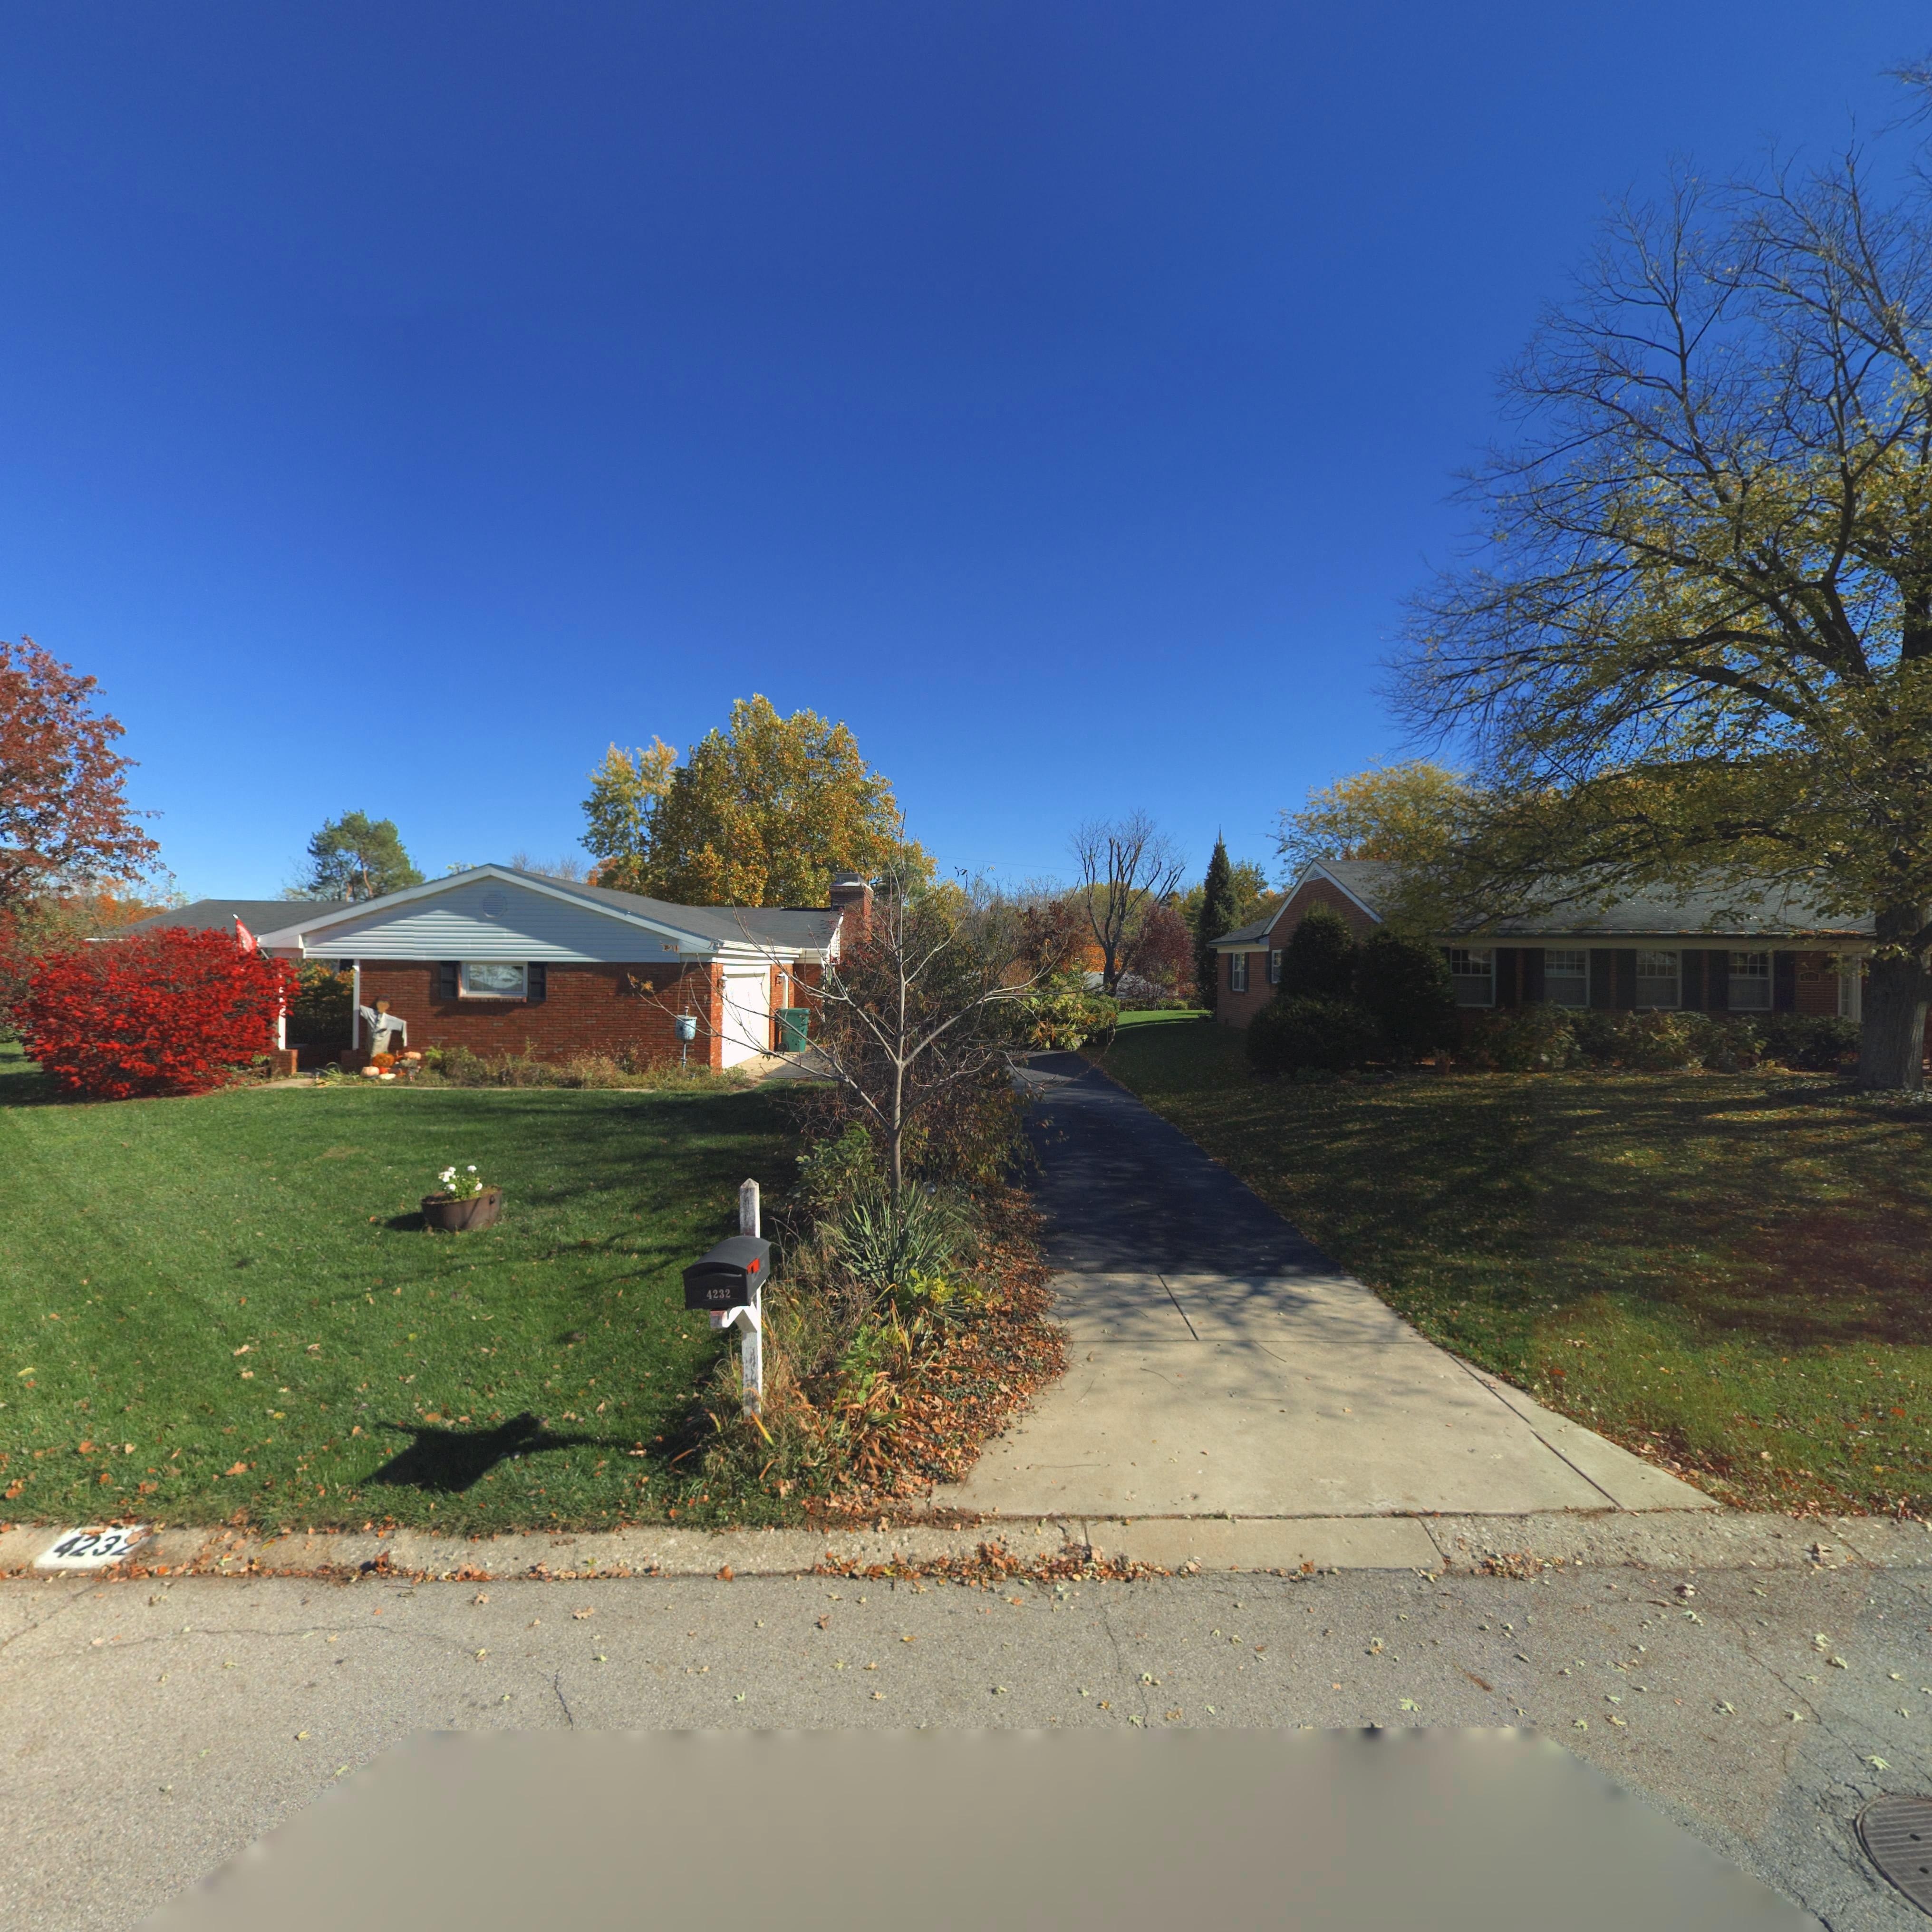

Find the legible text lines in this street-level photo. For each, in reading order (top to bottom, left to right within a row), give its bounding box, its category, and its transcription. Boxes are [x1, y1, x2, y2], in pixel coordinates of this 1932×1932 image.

[705, 1288, 731, 1300] StreetNumber: 4232
[52, 1533, 145, 1558] StreetNumber: 4232